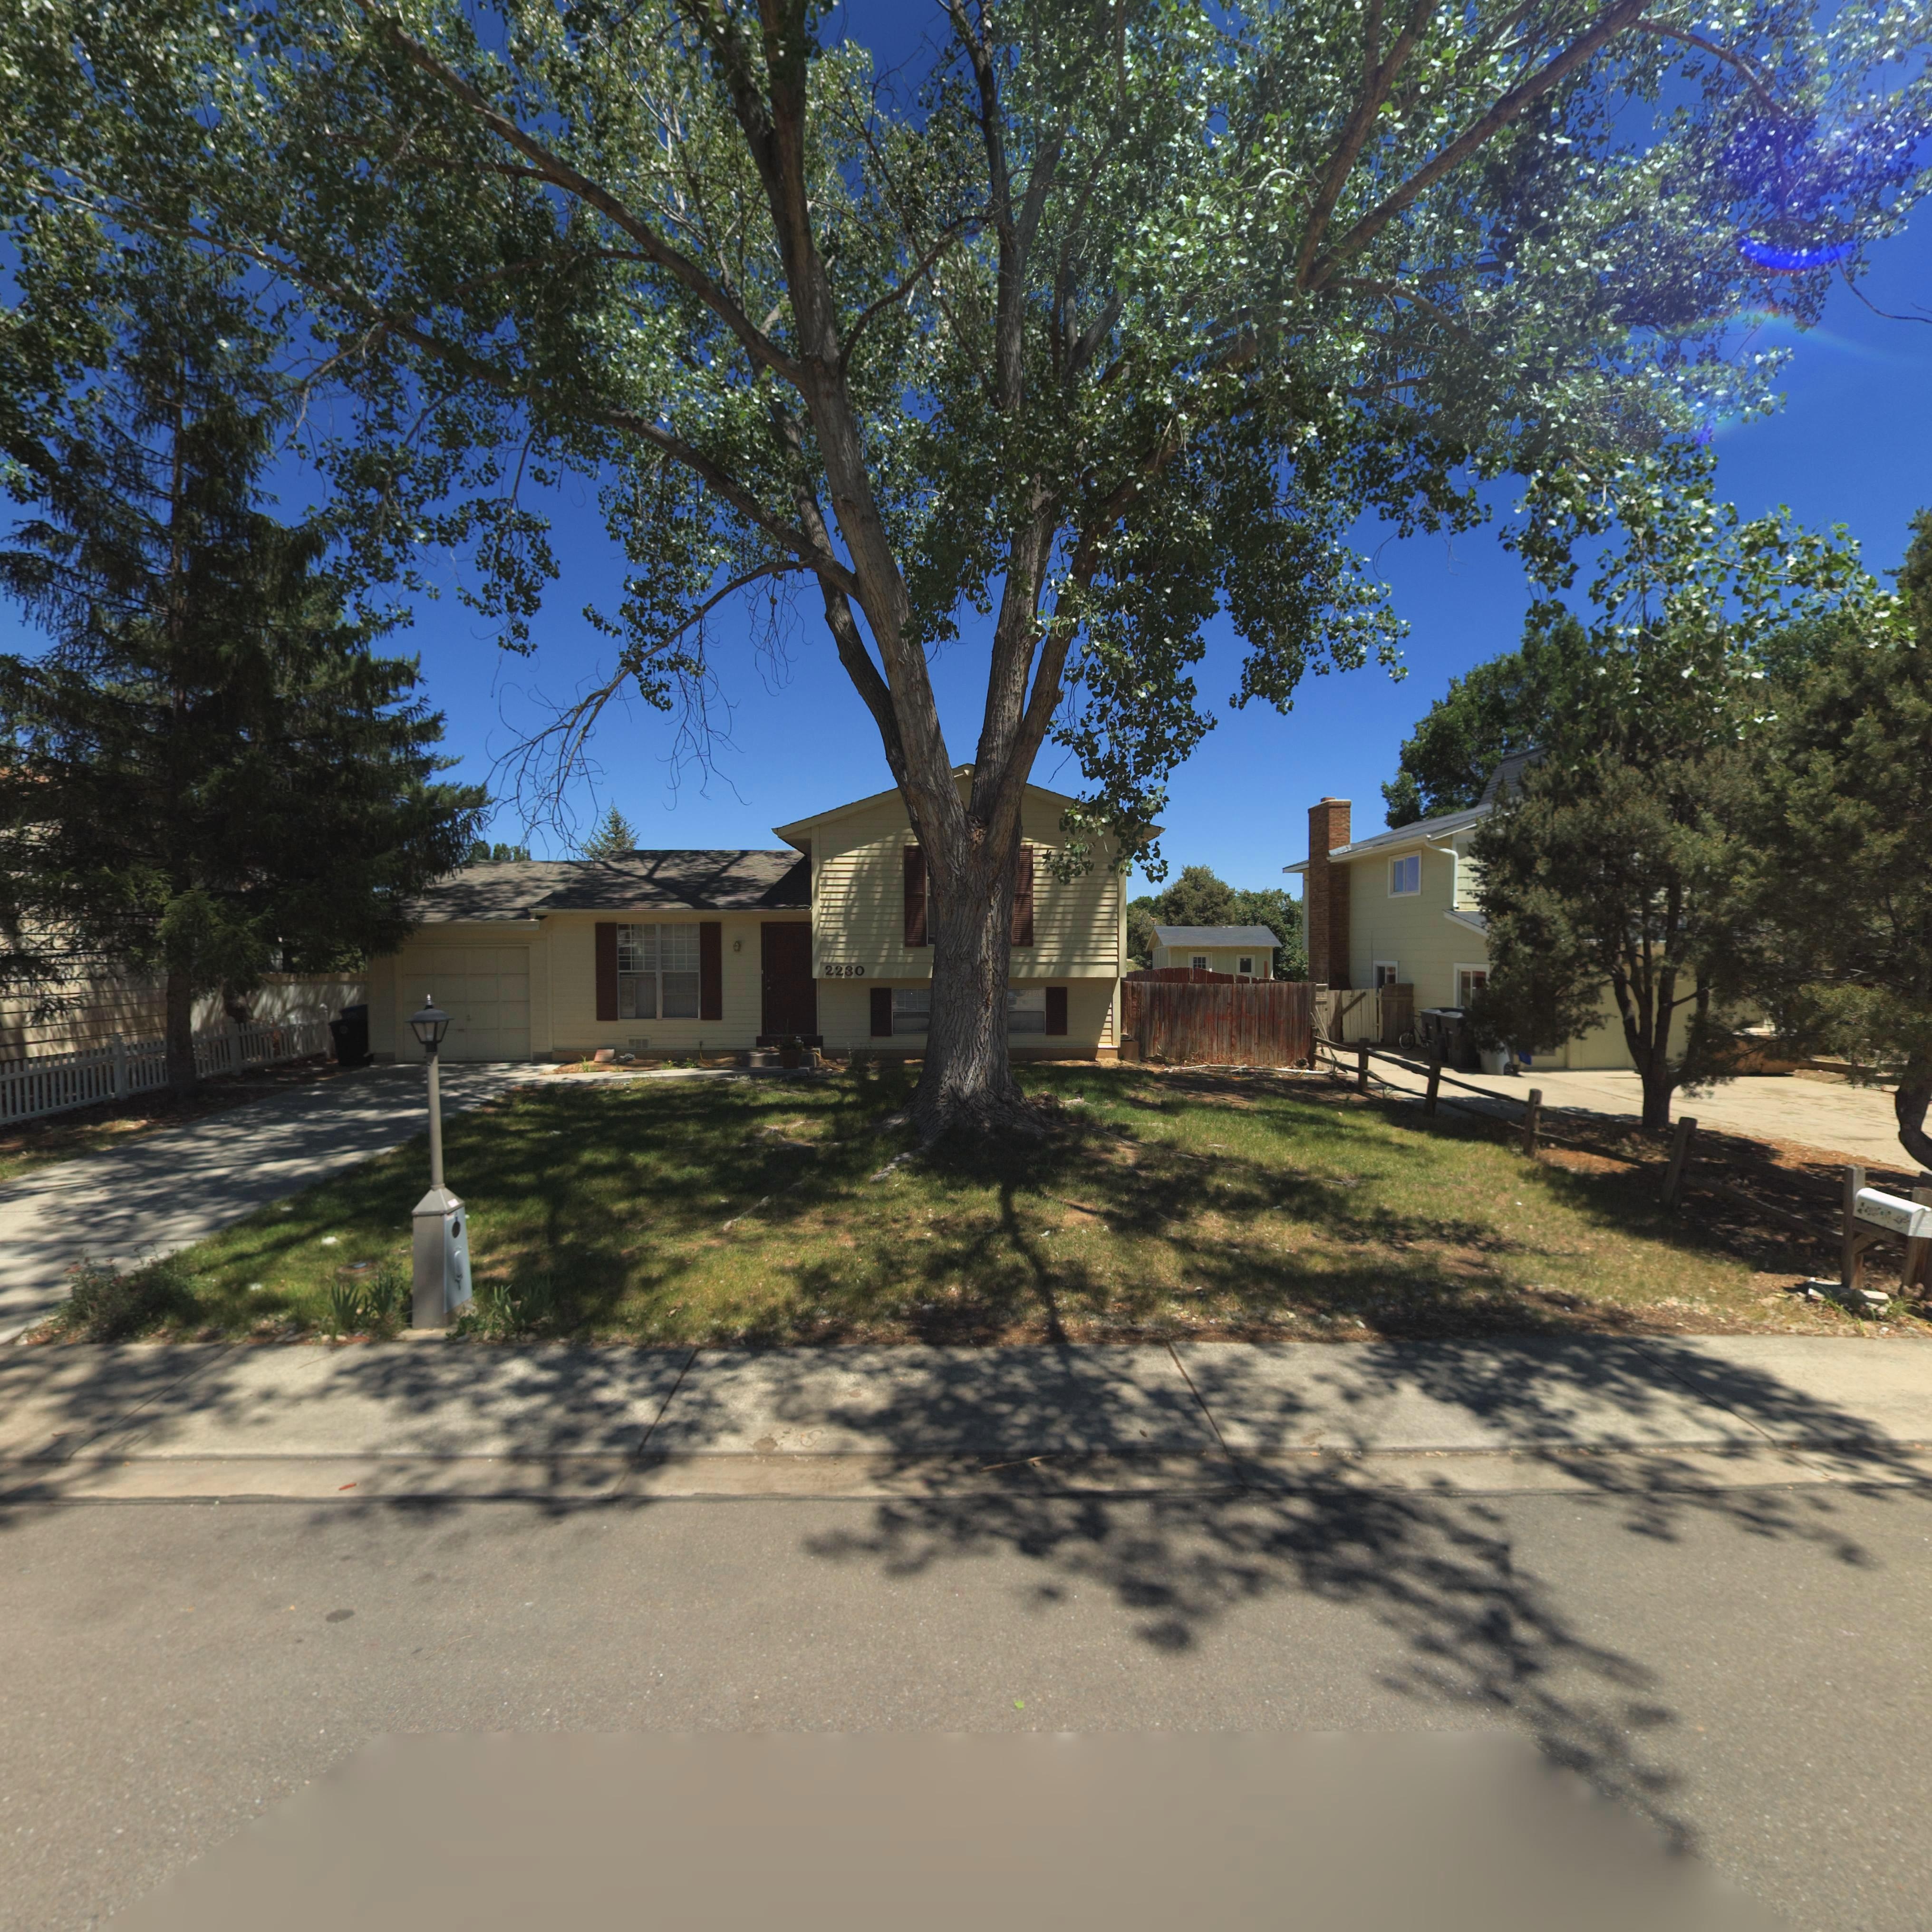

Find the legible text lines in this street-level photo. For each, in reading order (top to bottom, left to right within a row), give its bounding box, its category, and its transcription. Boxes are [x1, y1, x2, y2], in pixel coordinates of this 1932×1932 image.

[825, 965, 864, 976] StreetNumber: 2230